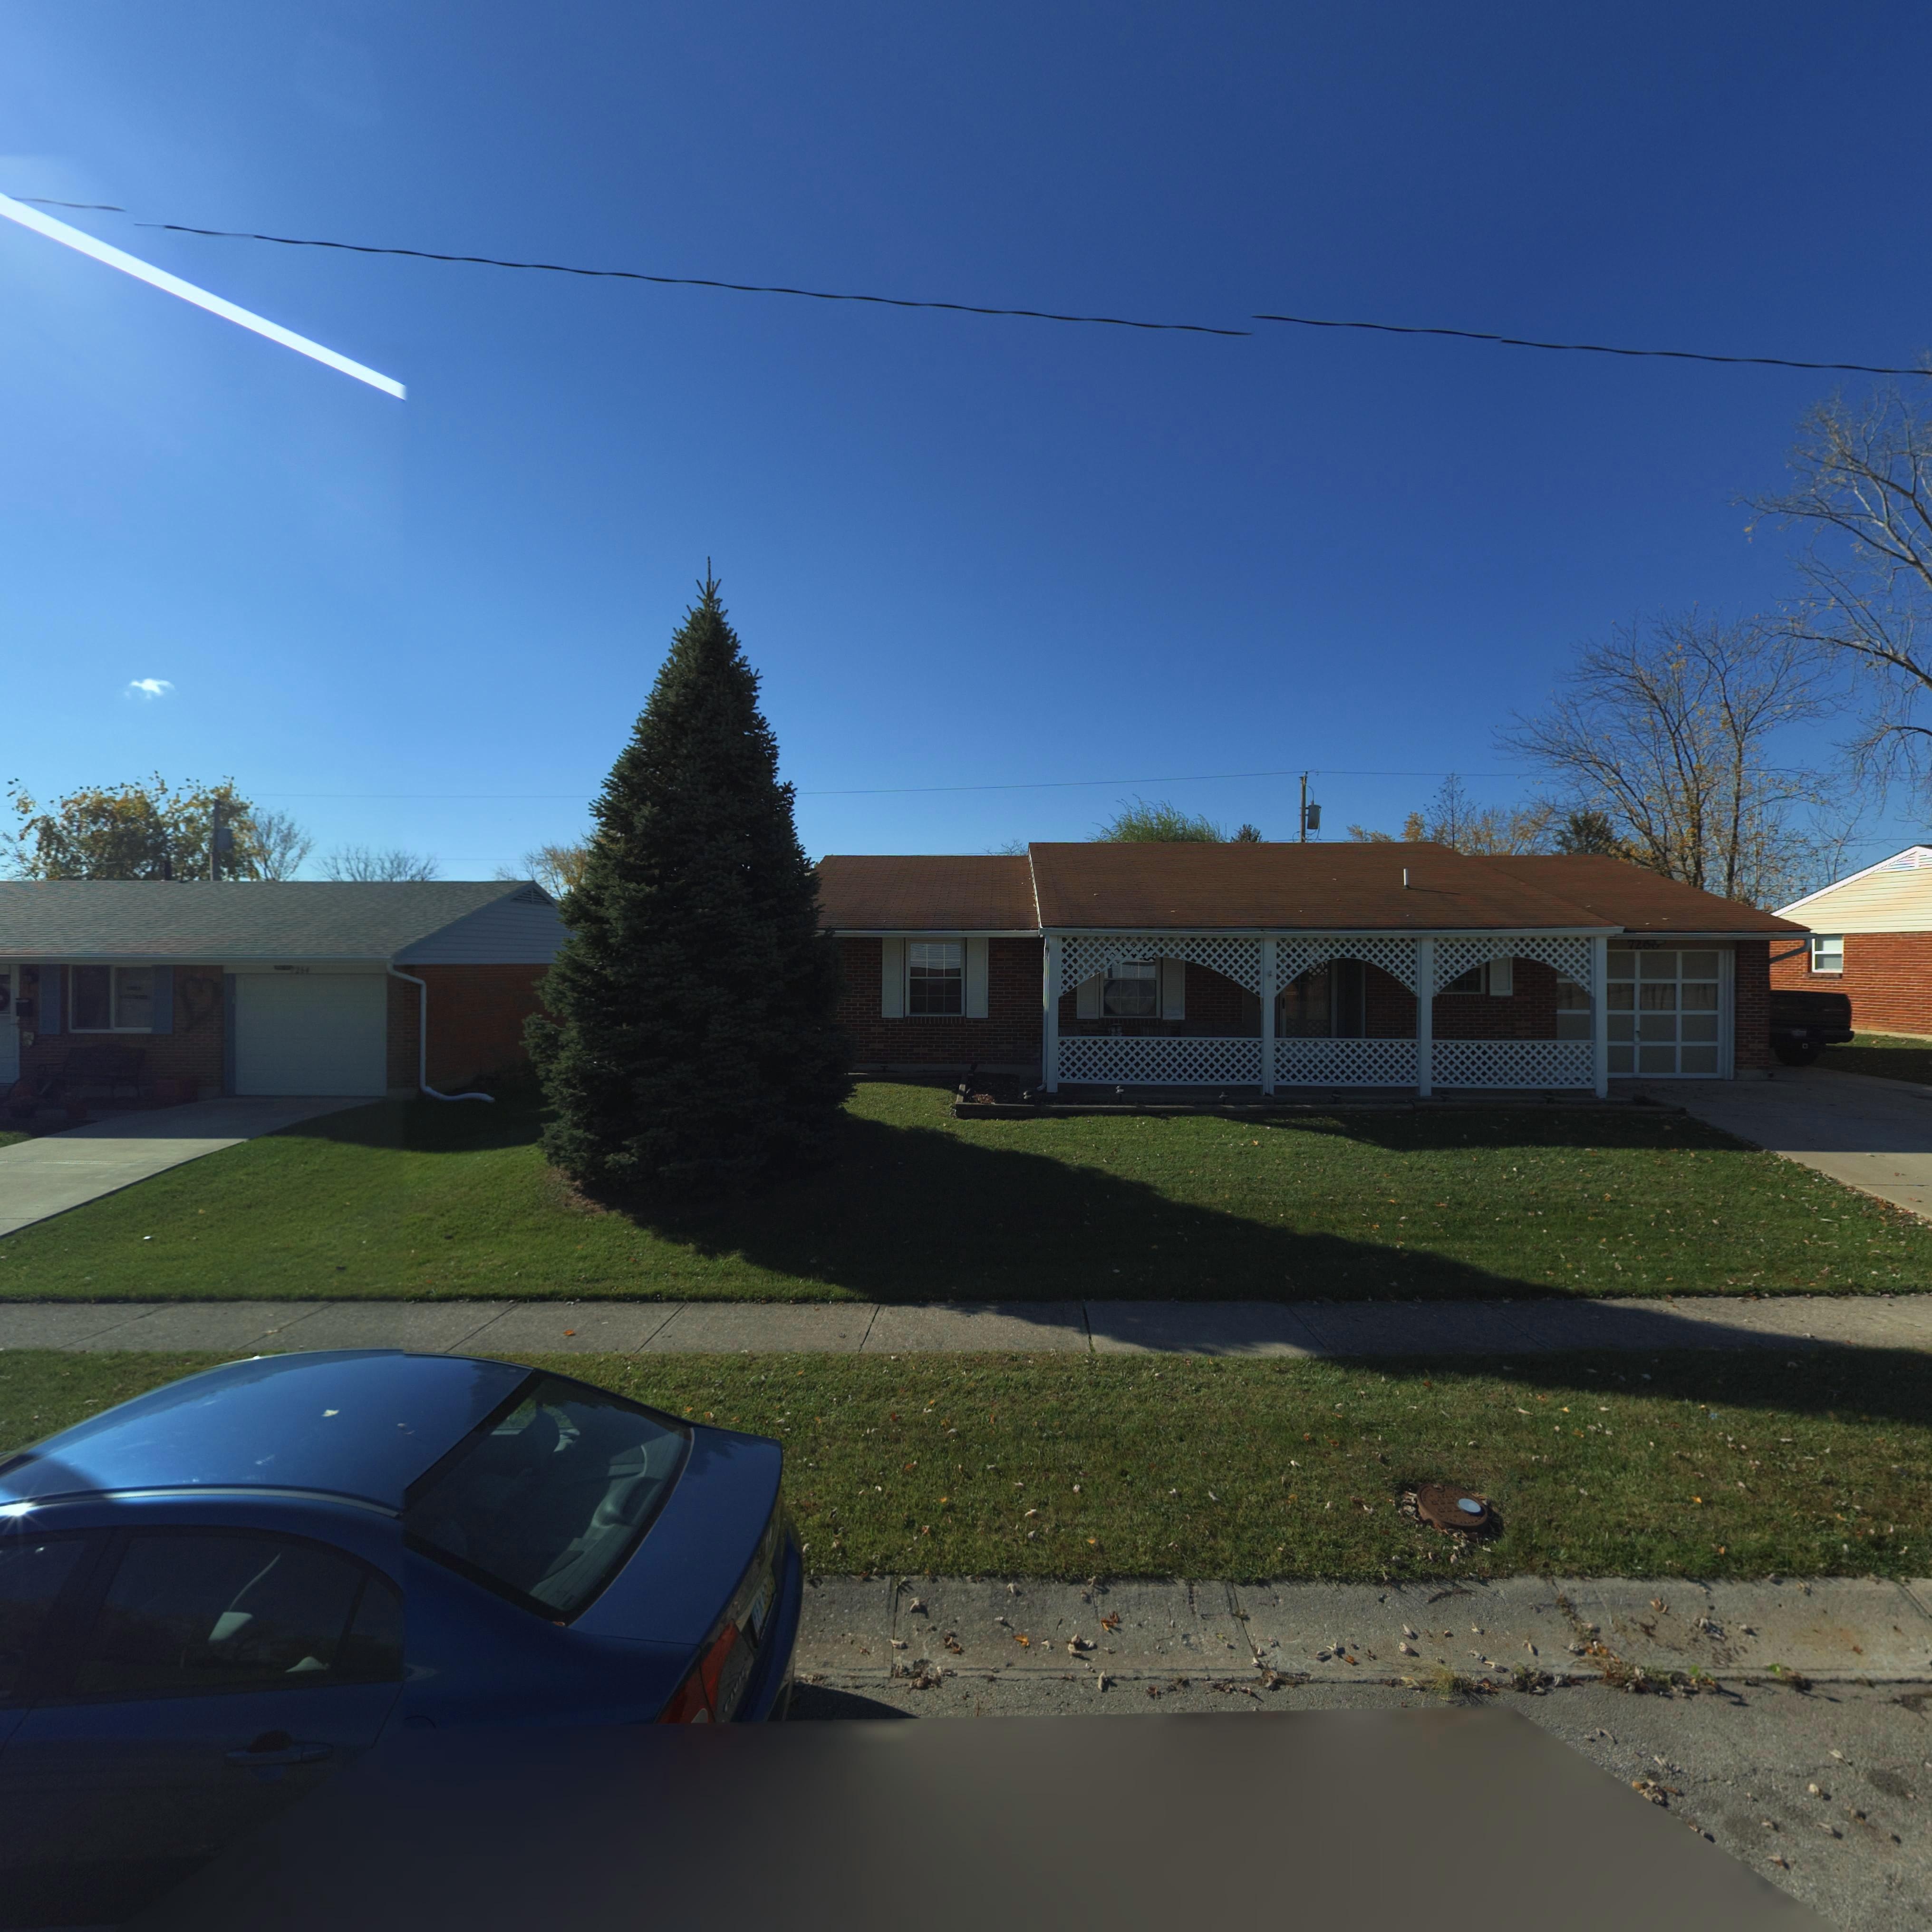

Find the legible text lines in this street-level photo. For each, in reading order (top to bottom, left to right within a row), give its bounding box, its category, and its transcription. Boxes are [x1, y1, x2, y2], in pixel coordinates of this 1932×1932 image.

[1626, 938, 1661, 951] StreetNumber: 72**
[294, 966, 310, 975] StreetNumber: 264